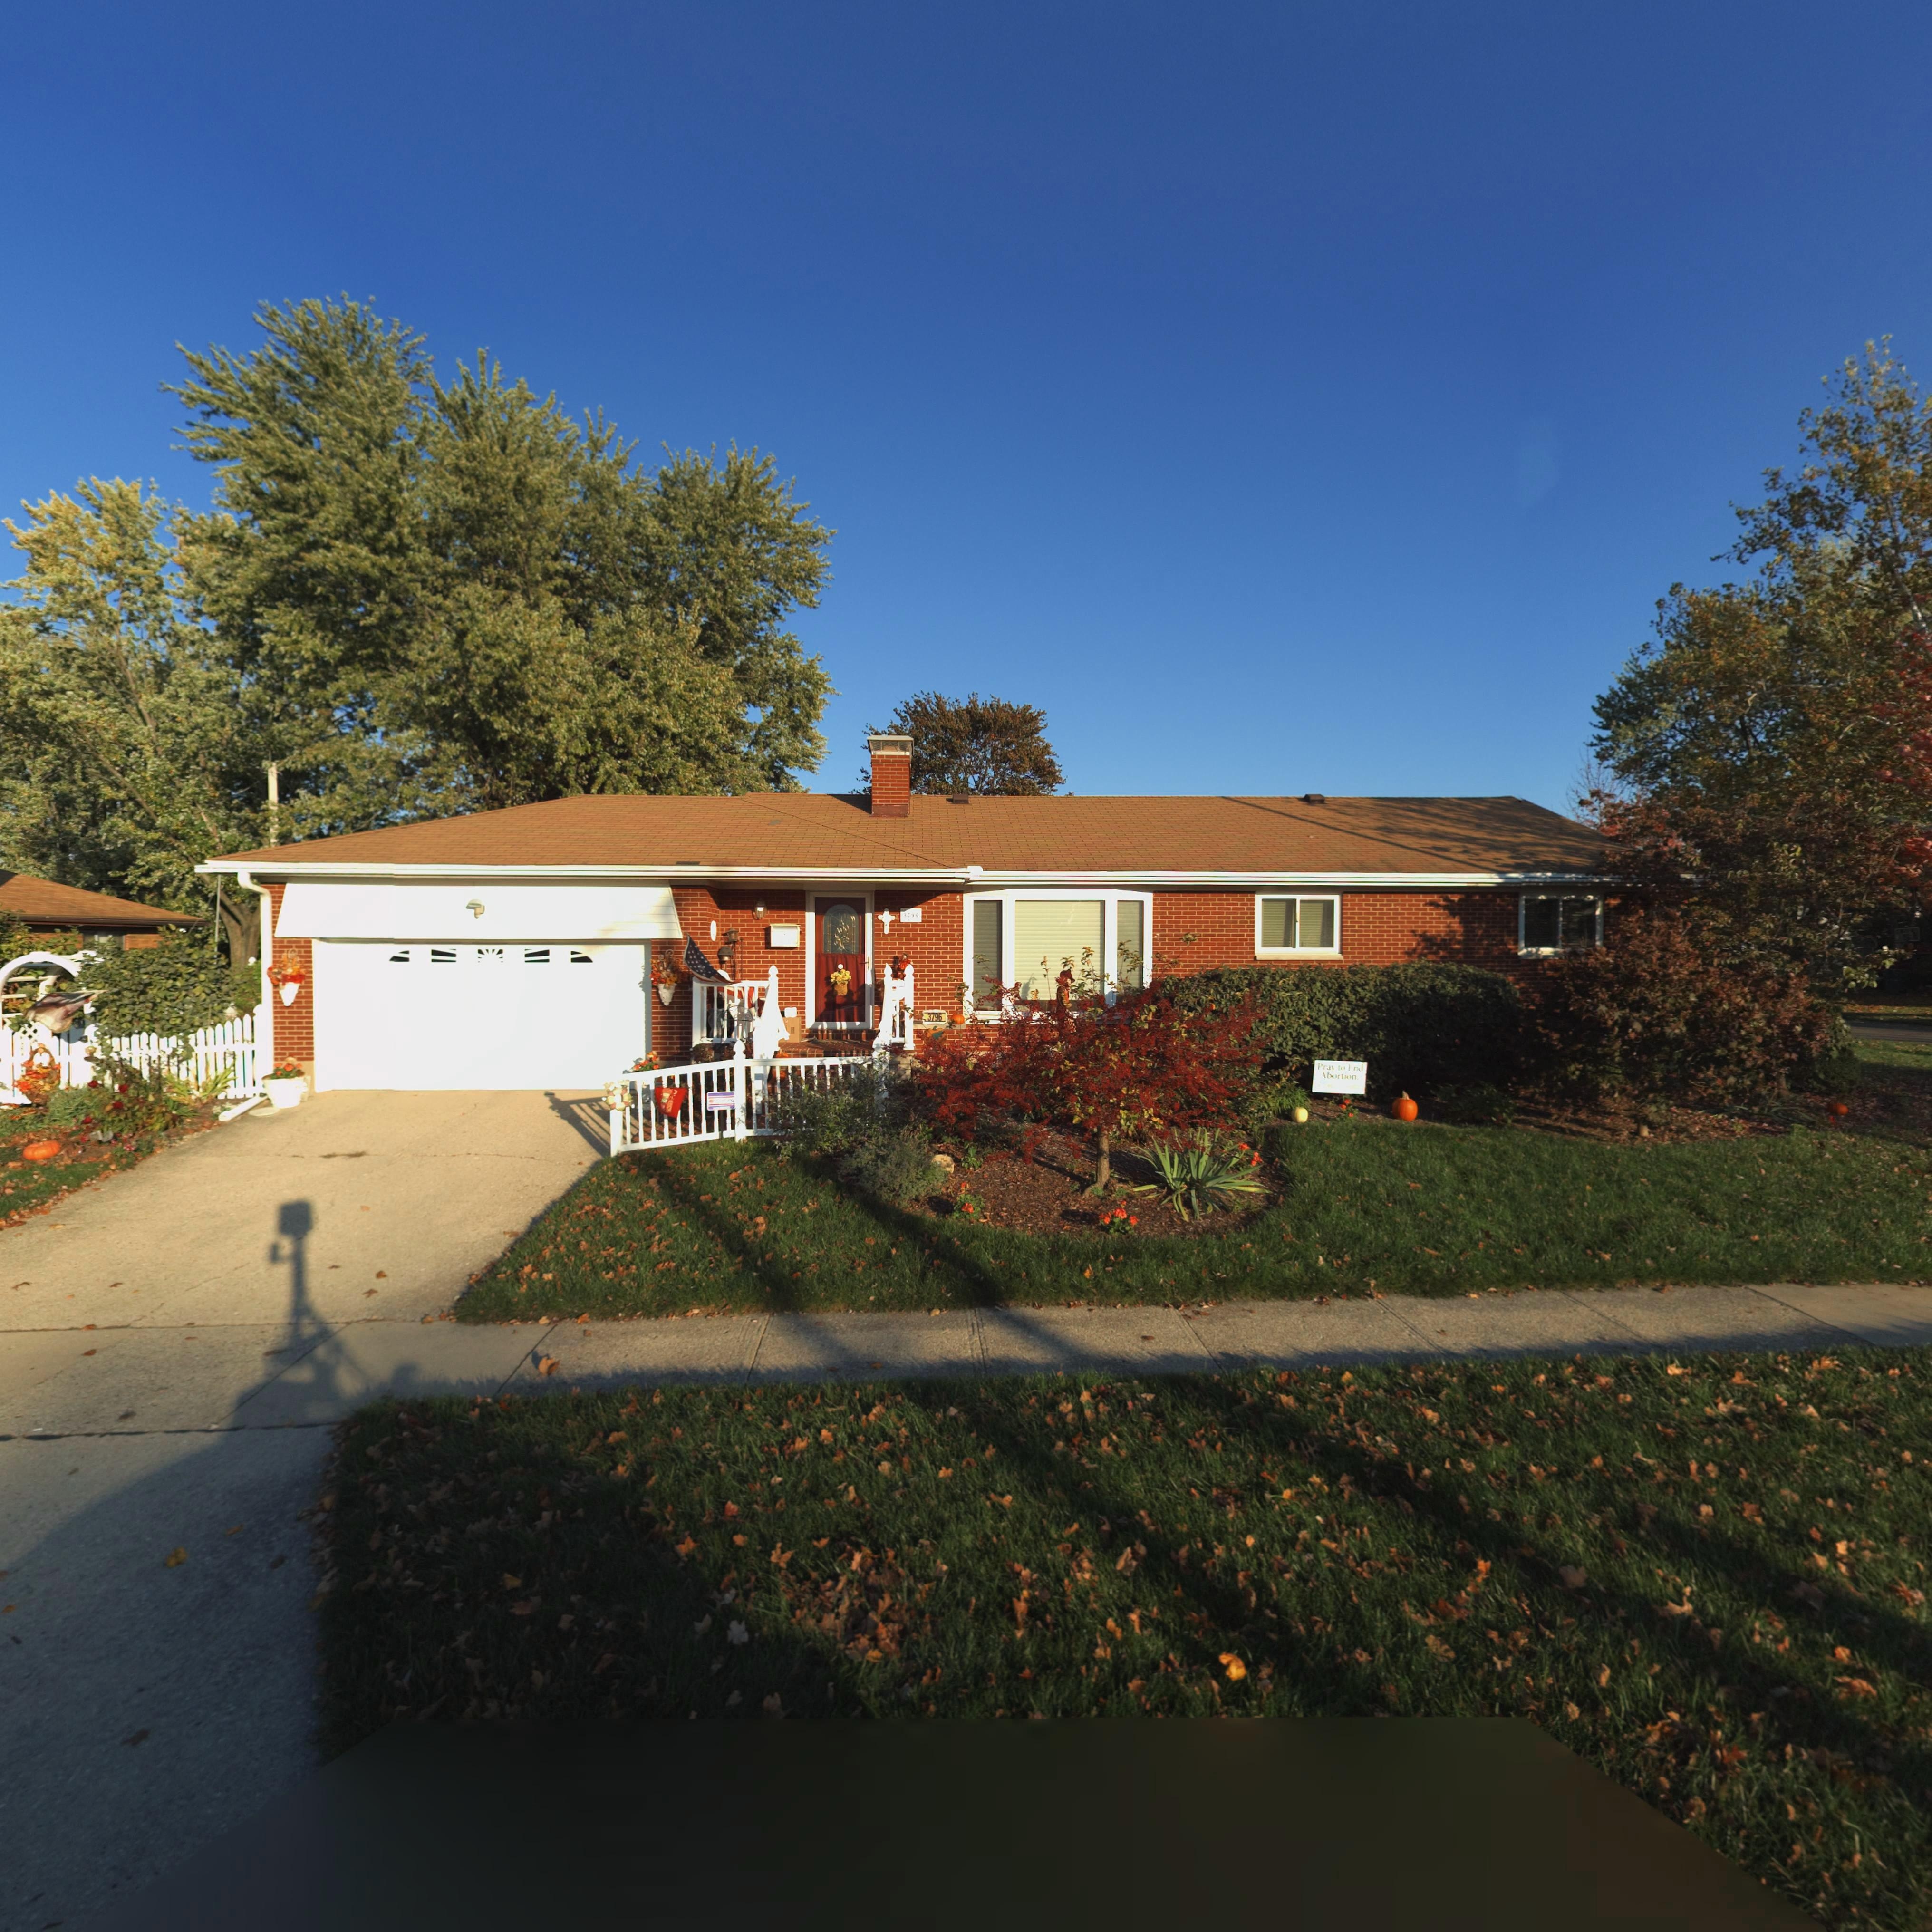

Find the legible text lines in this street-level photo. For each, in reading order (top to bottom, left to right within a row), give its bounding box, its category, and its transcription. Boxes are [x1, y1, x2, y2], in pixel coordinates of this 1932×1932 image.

[902, 912, 918, 918] StreetNumber: 3796
[927, 1013, 943, 1022] StreetNumber: 3796